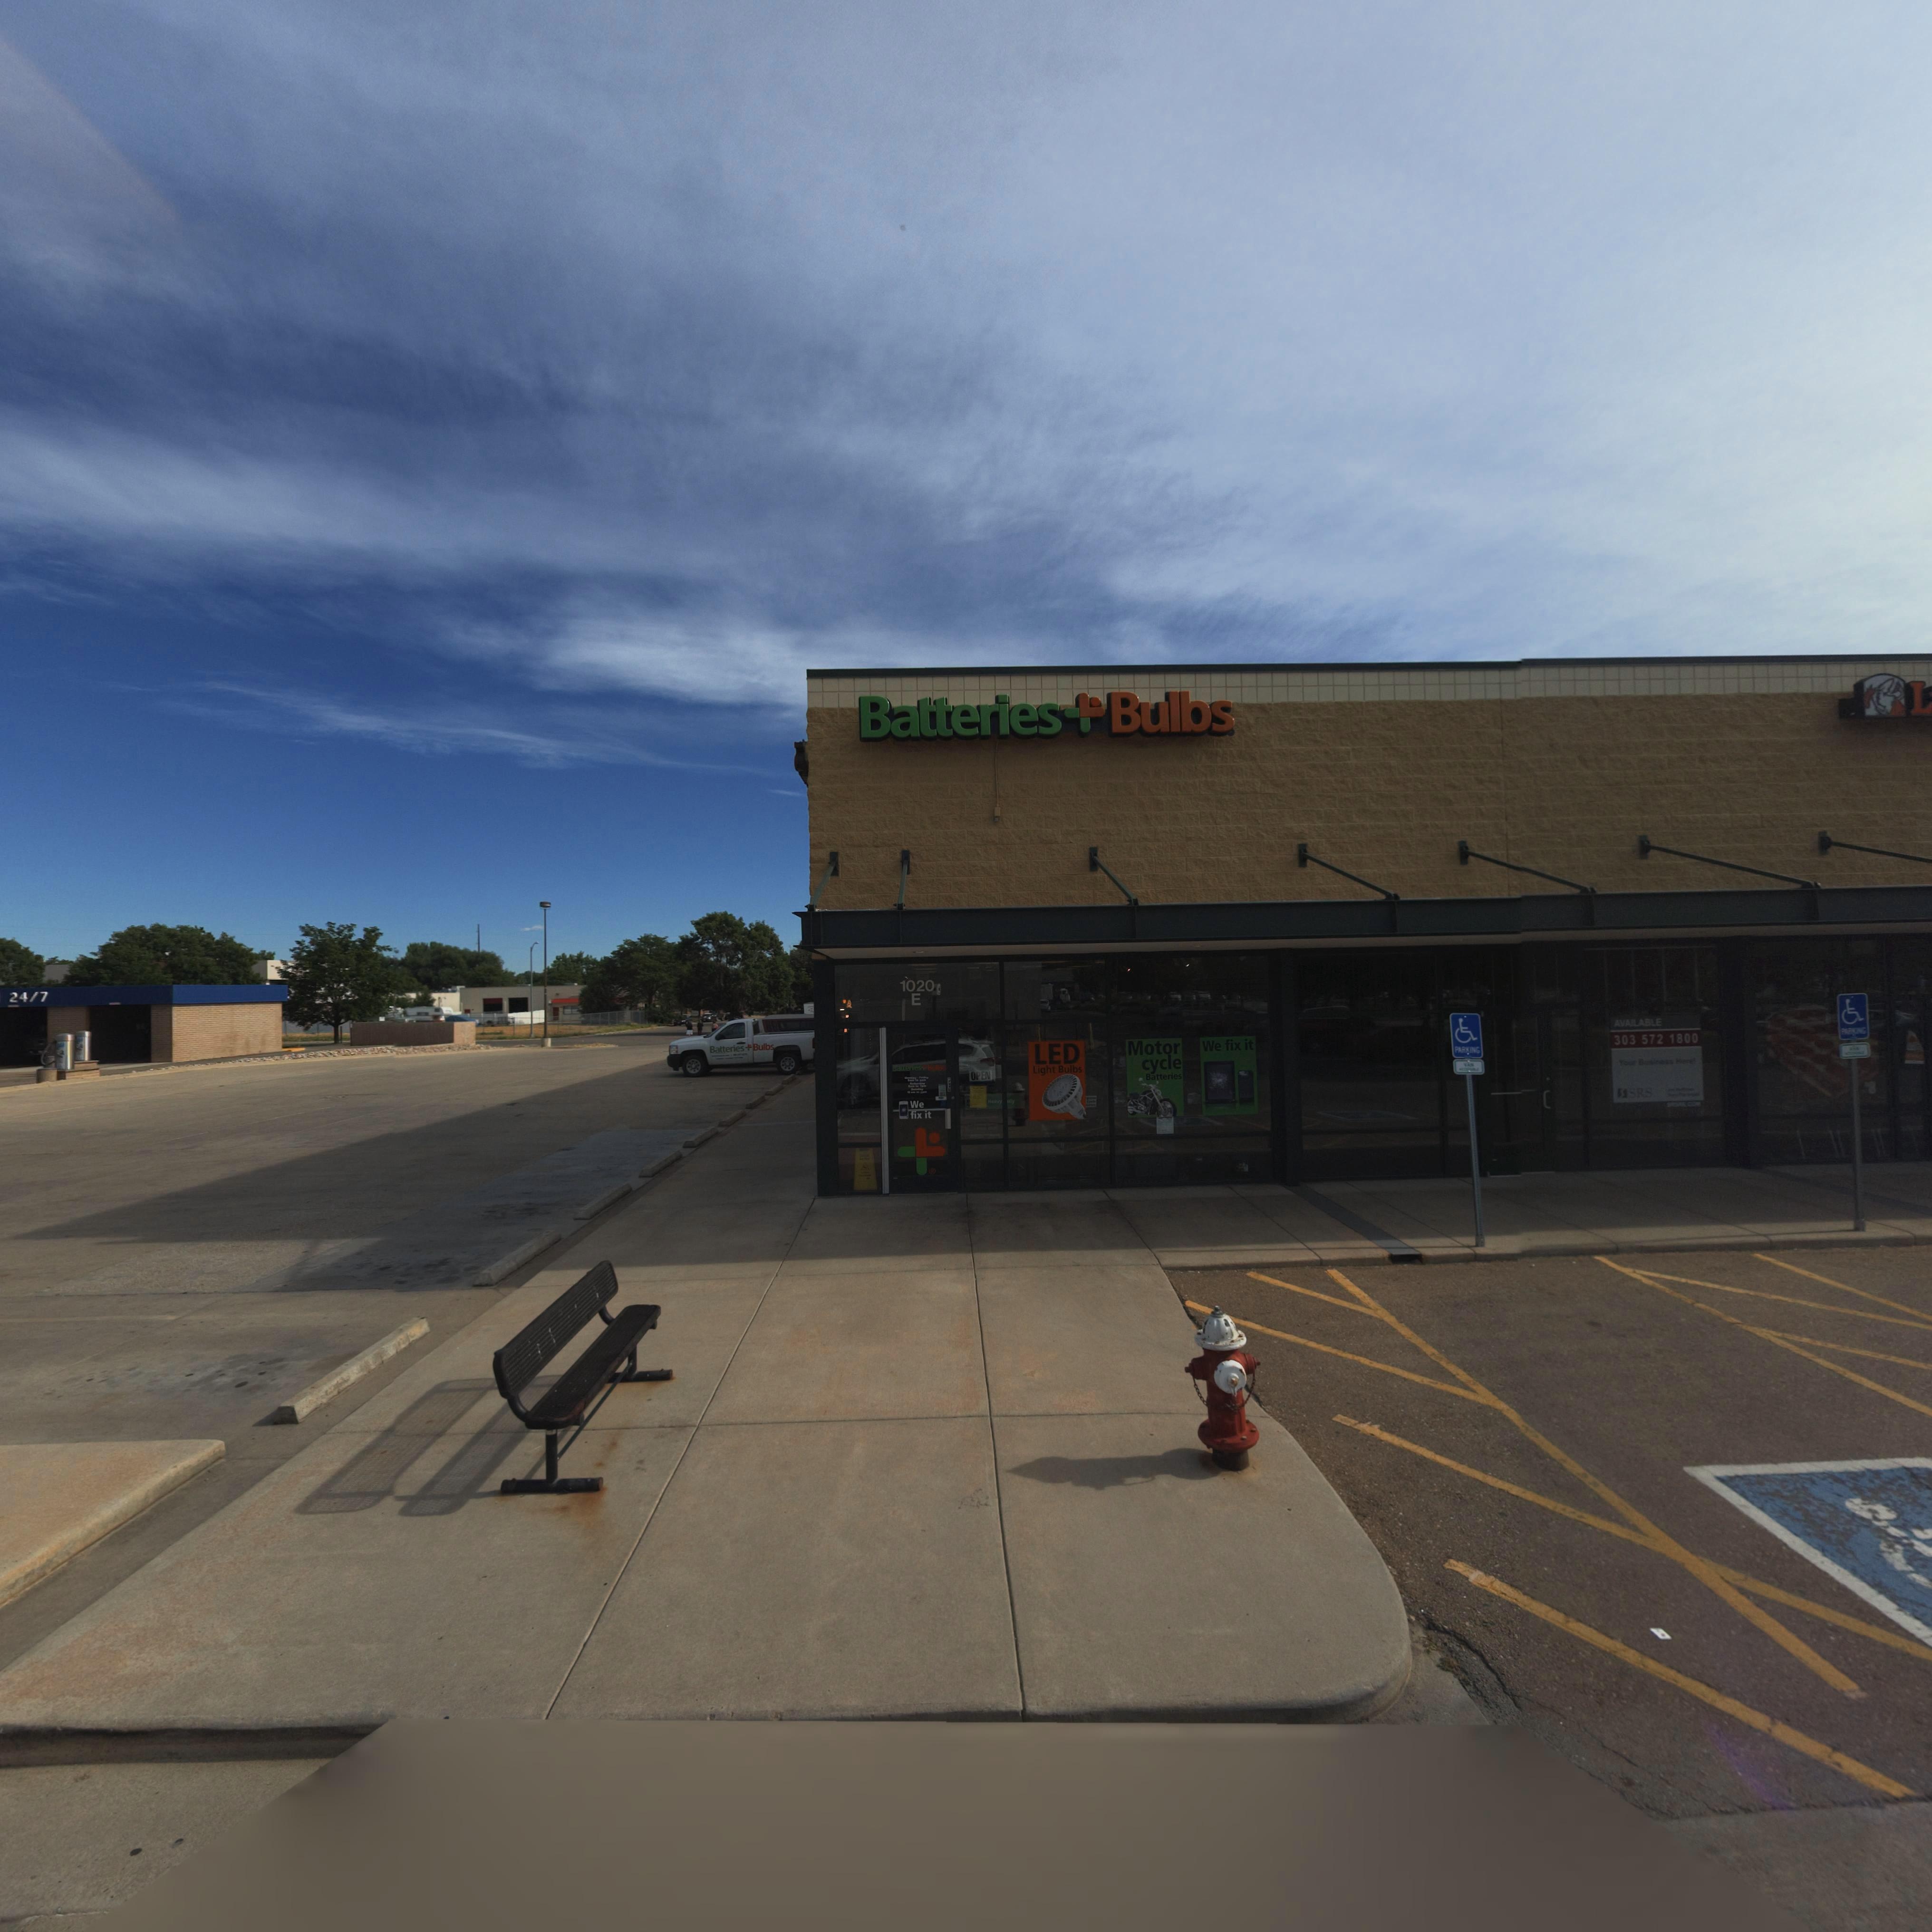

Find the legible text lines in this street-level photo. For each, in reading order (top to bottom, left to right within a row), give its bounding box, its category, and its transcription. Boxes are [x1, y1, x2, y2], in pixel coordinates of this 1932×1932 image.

[860, 691, 1235, 739] BusinessName: Batteries * Bulbs
[900, 979, 935, 992] StreetNumber: 1020
[892, 1063, 945, 1072] BusinessName: Batteries * Bulbs